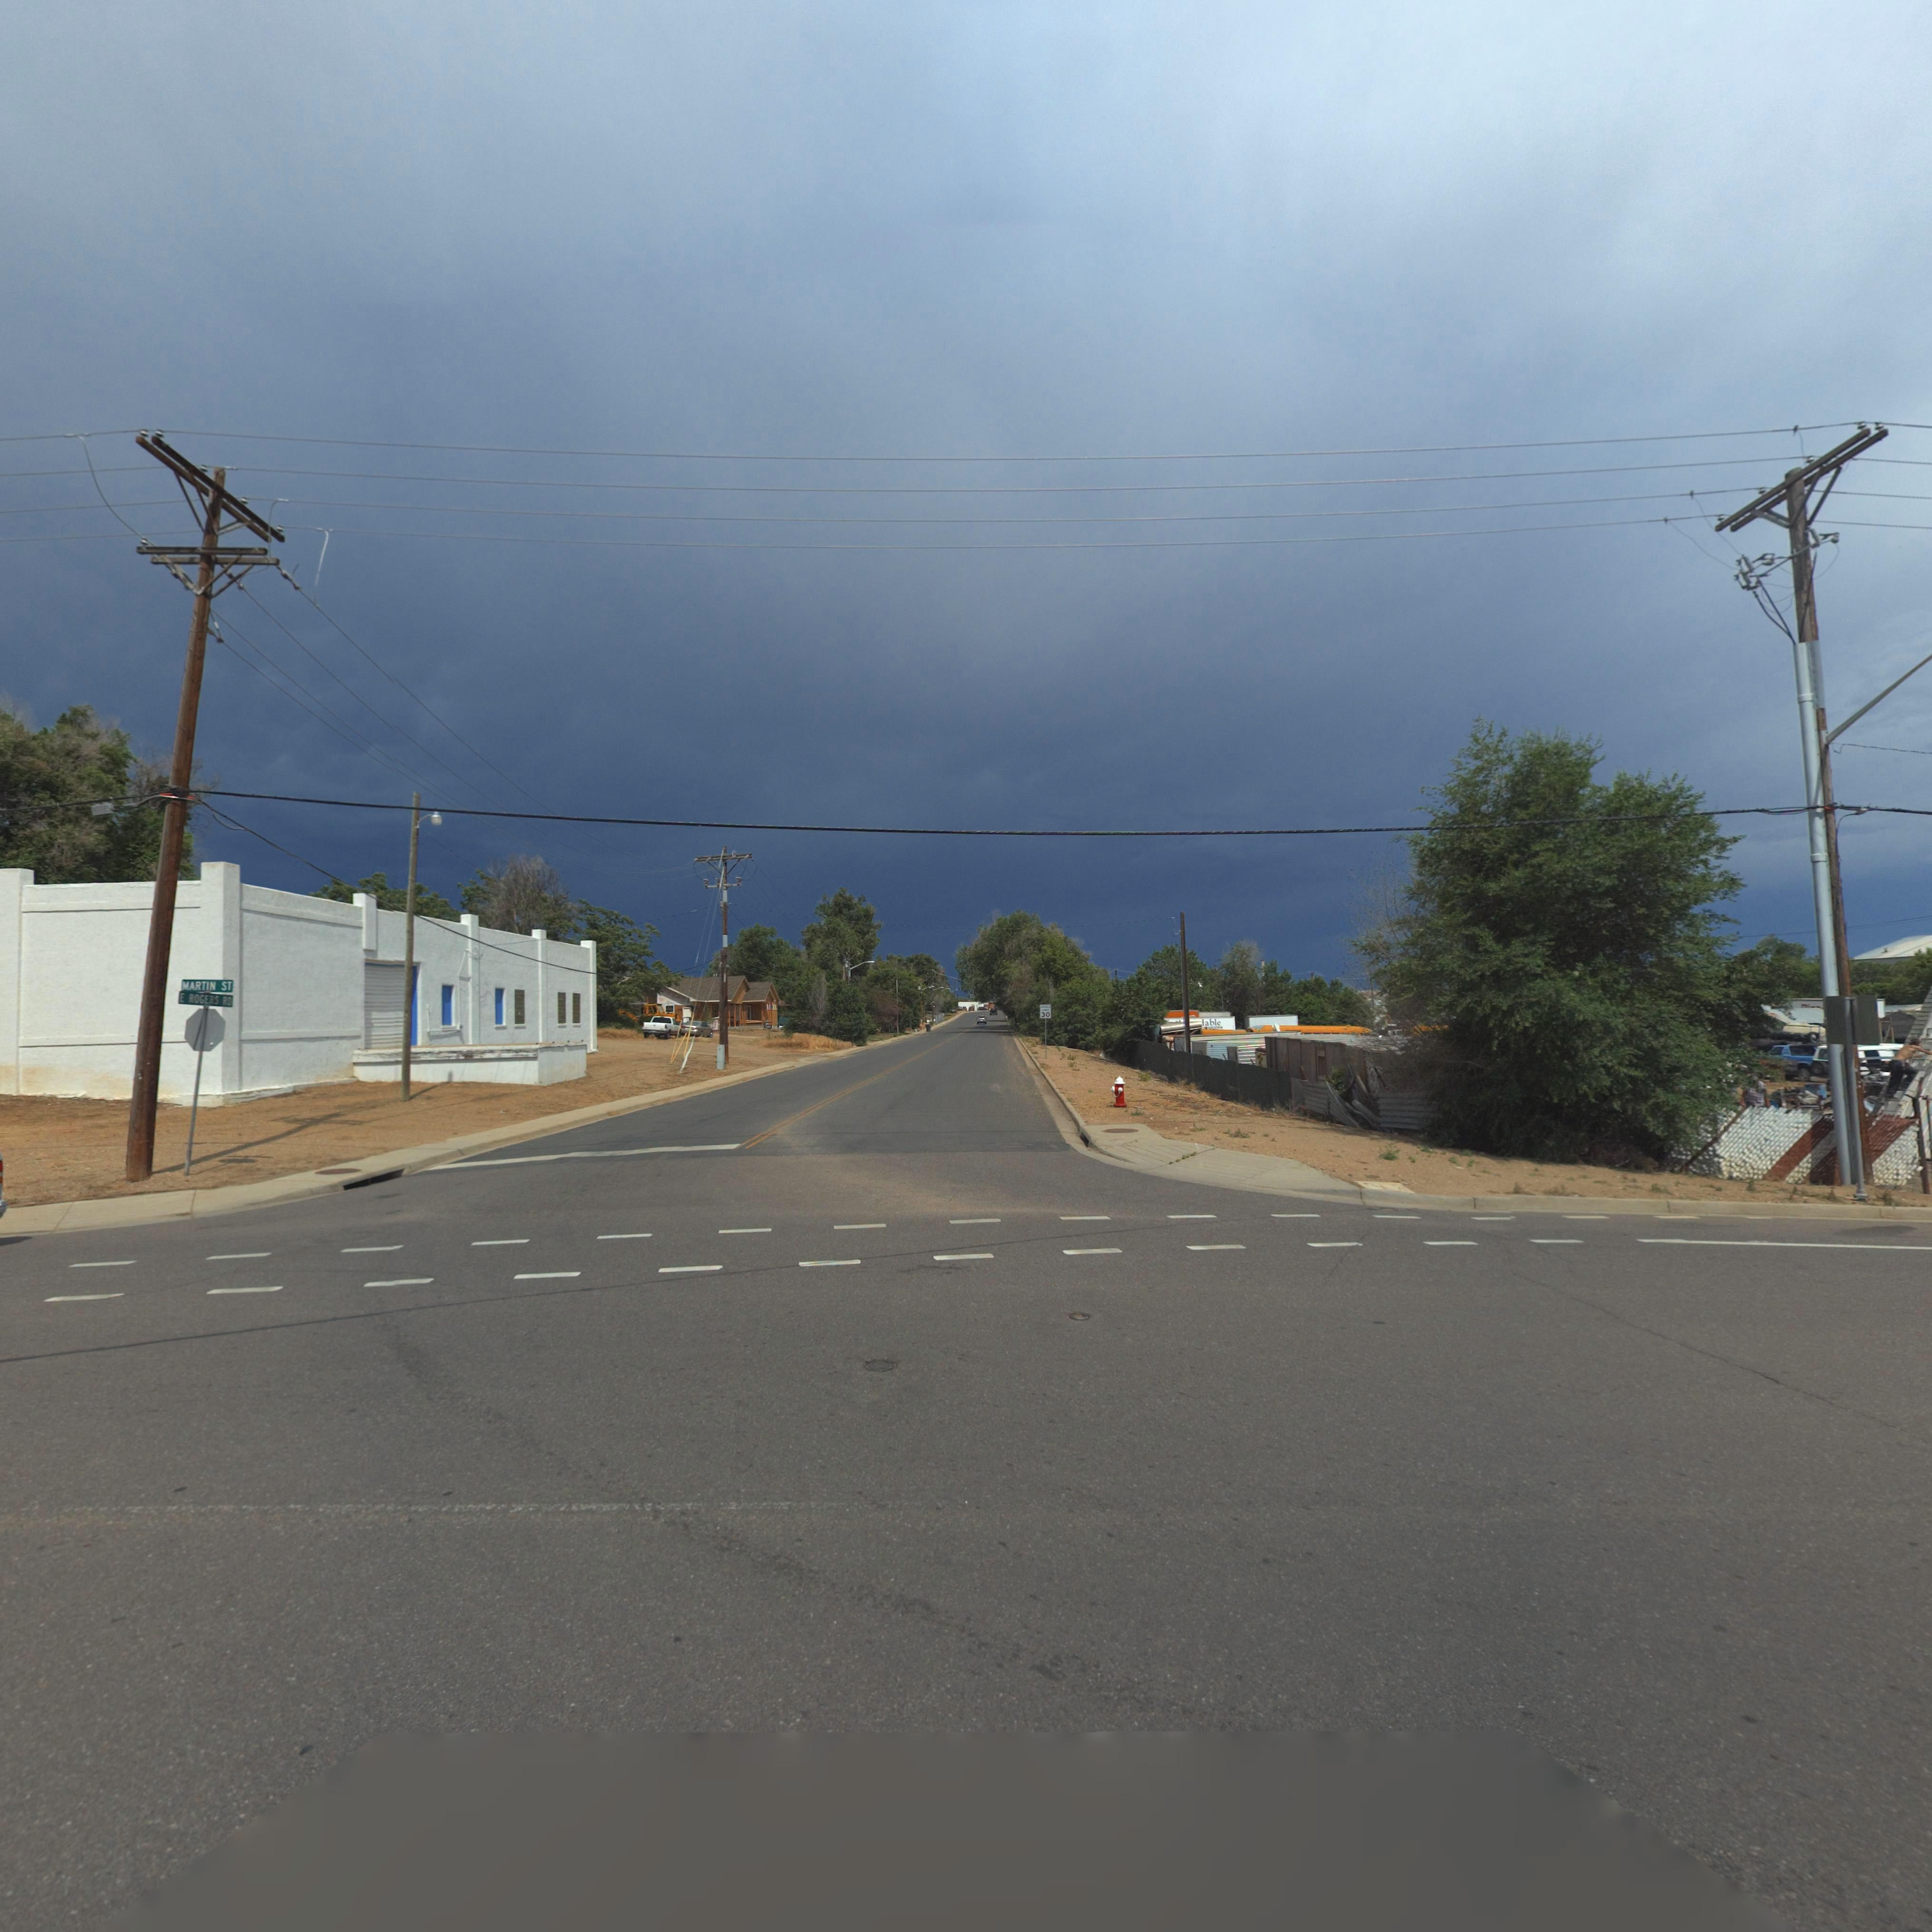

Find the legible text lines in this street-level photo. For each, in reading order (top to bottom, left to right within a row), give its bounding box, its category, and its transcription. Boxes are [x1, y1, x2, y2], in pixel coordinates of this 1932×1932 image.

[182, 979, 232, 992] StreetName: MARTIN ST
[179, 992, 232, 1006] StreetName: E ROGERS RD